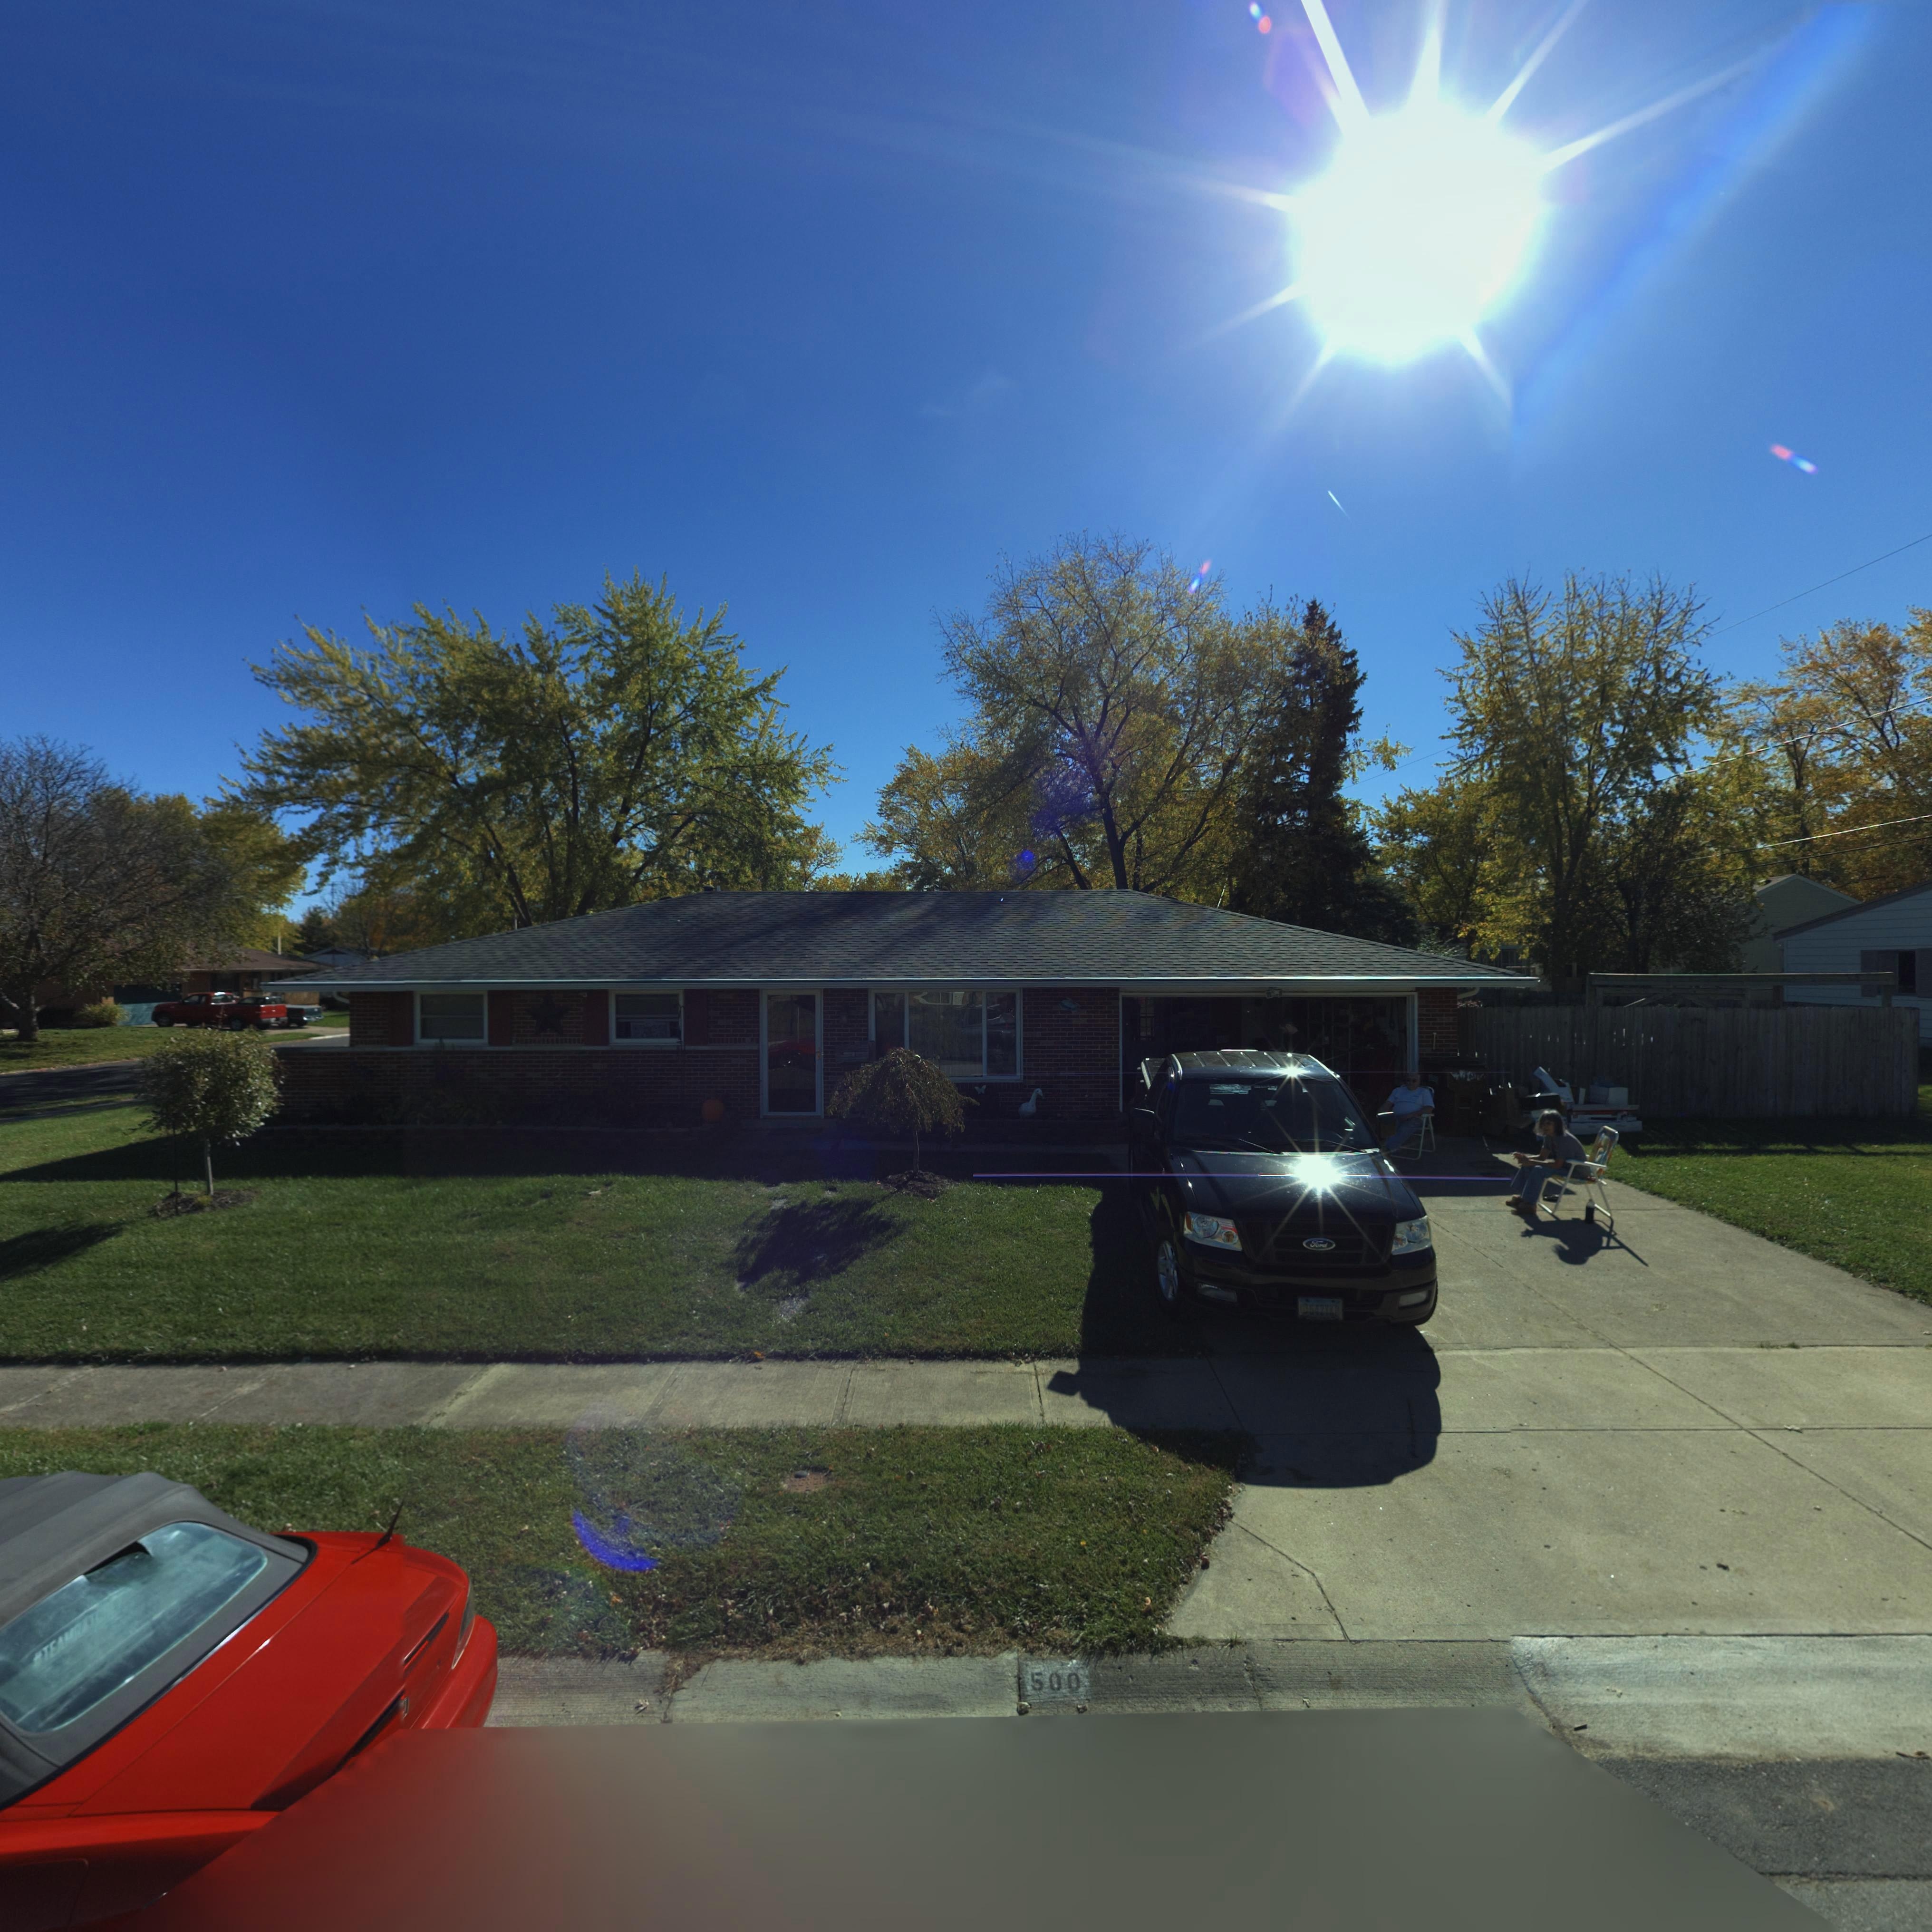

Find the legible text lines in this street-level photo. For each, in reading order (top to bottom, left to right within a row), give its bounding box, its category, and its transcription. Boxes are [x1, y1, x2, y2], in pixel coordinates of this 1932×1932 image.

[1031, 1671, 1081, 1692] StreetNumber: 500